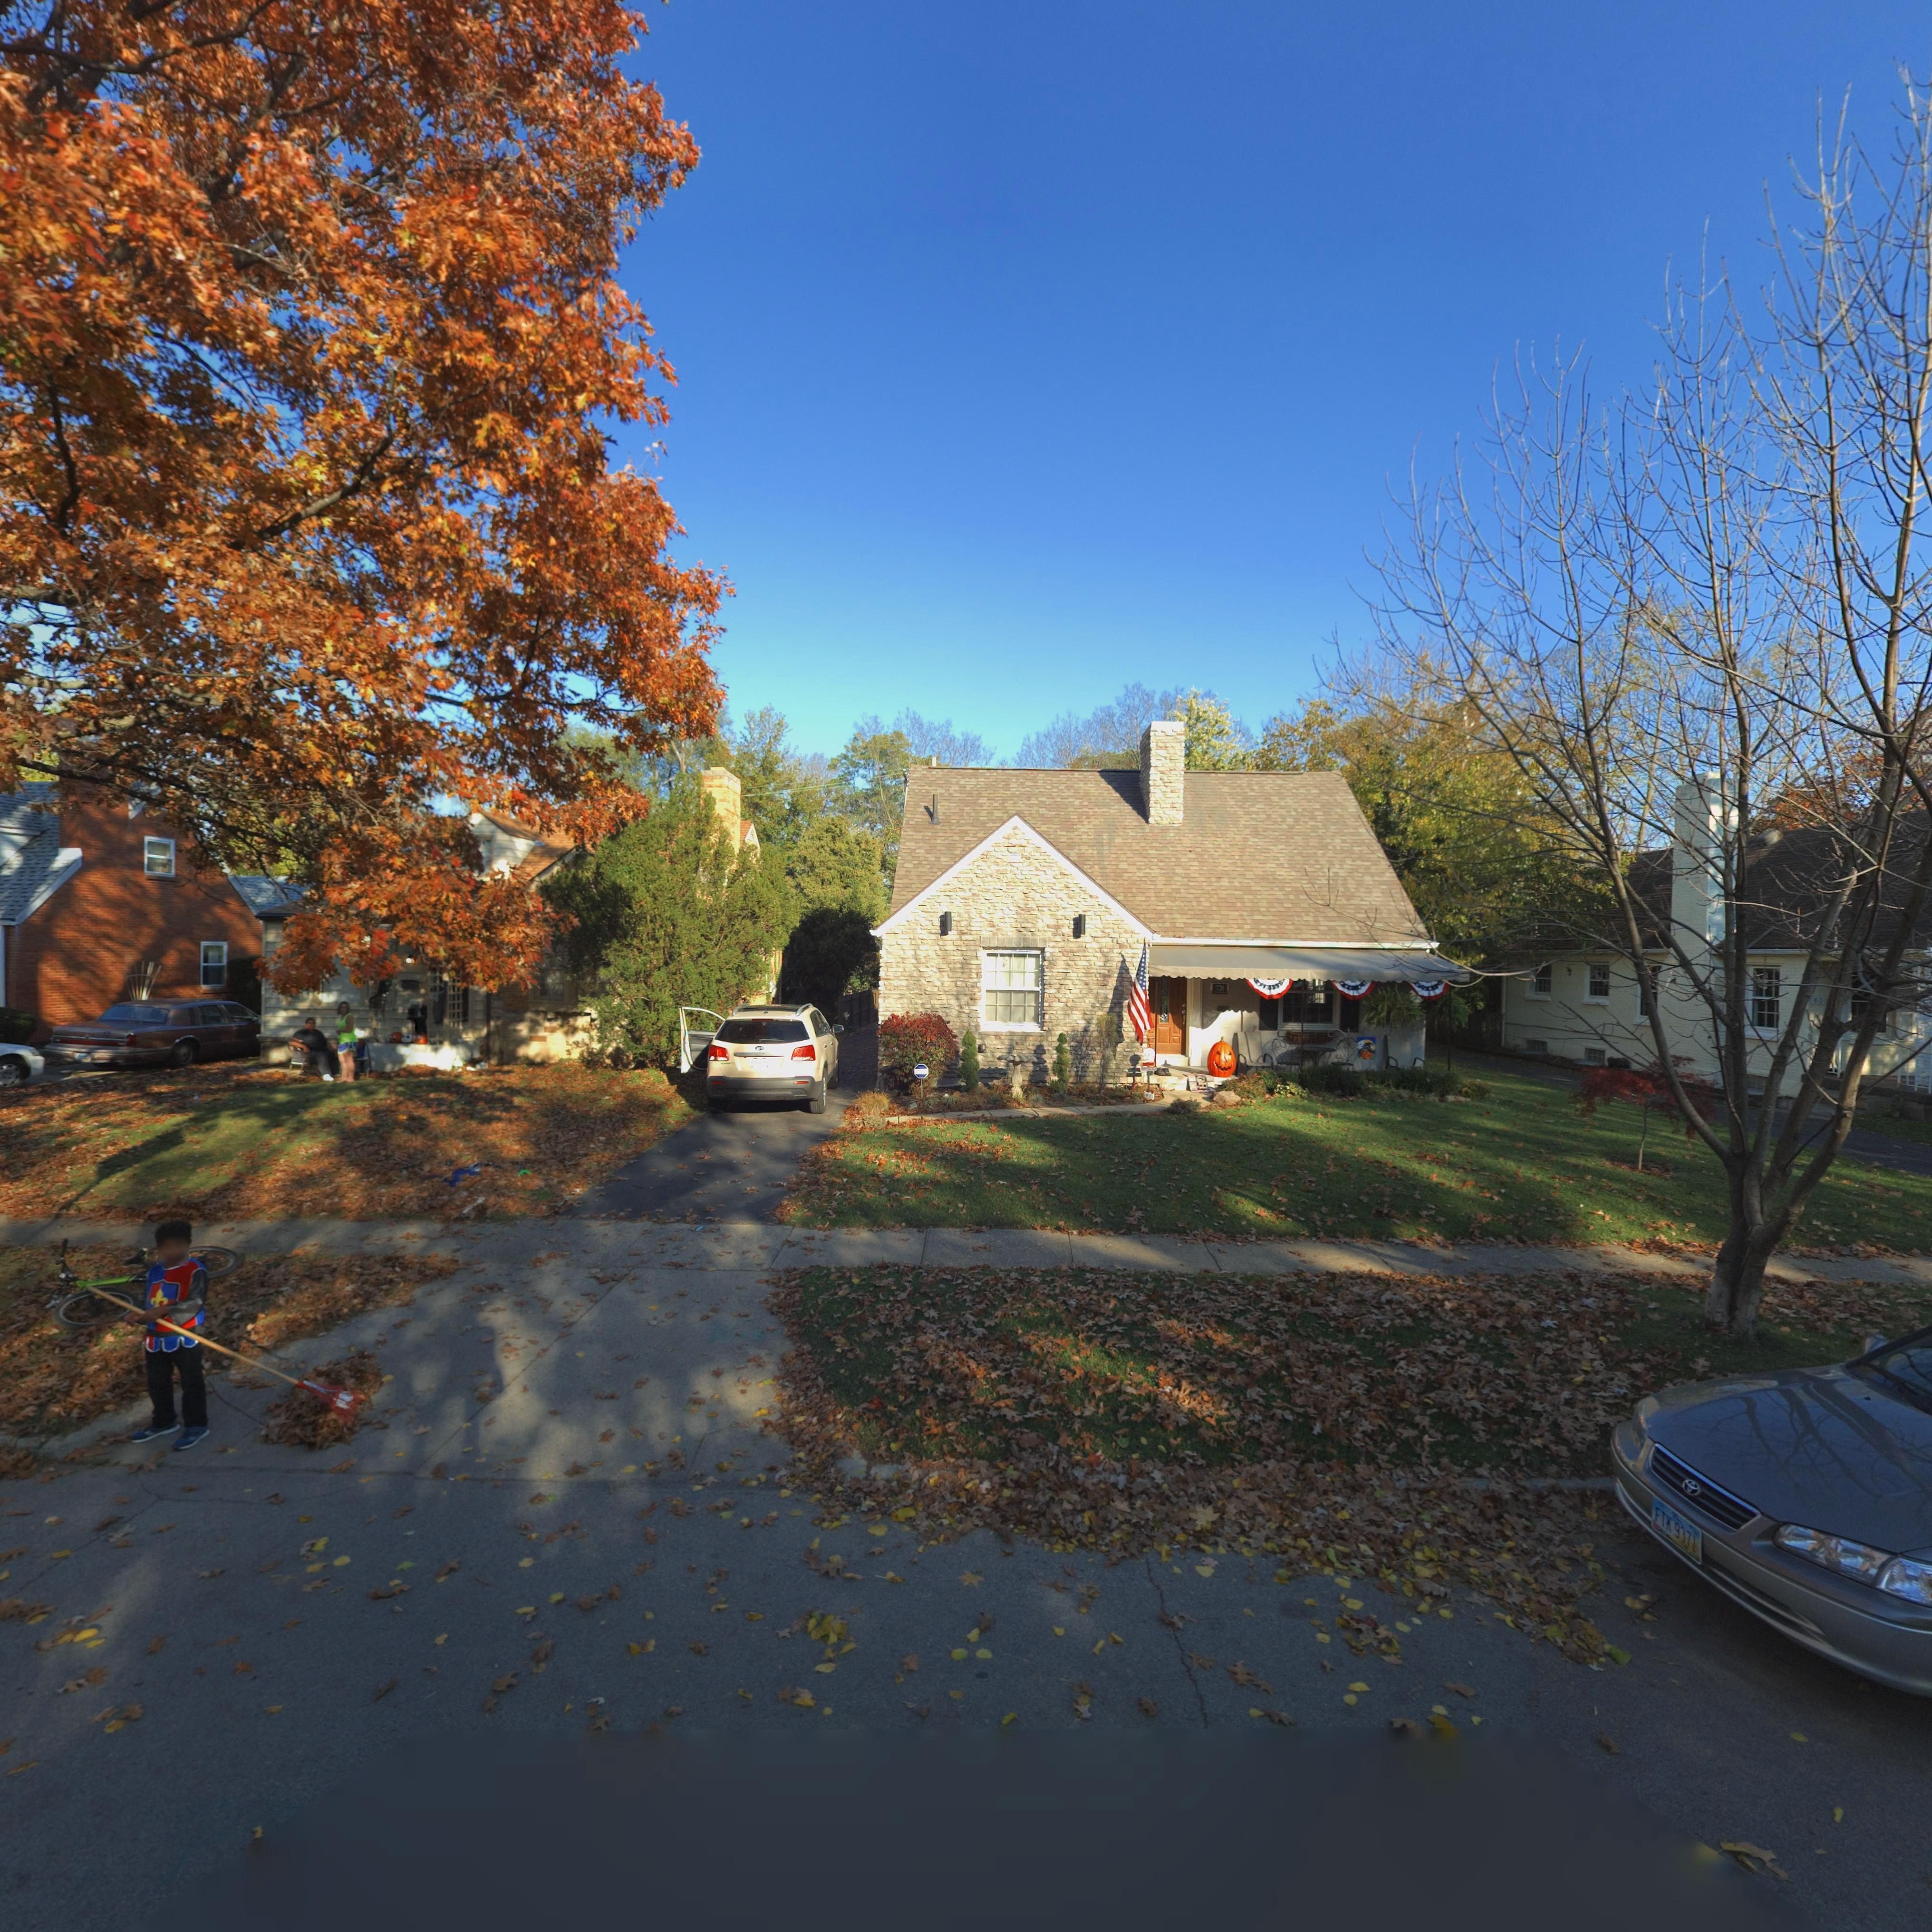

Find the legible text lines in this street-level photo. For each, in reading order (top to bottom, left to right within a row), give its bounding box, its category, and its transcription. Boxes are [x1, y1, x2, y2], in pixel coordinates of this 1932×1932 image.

[1215, 985, 1225, 991] StreetNumber: 726
[1813, 997, 1823, 1004] StreetNumber: 80